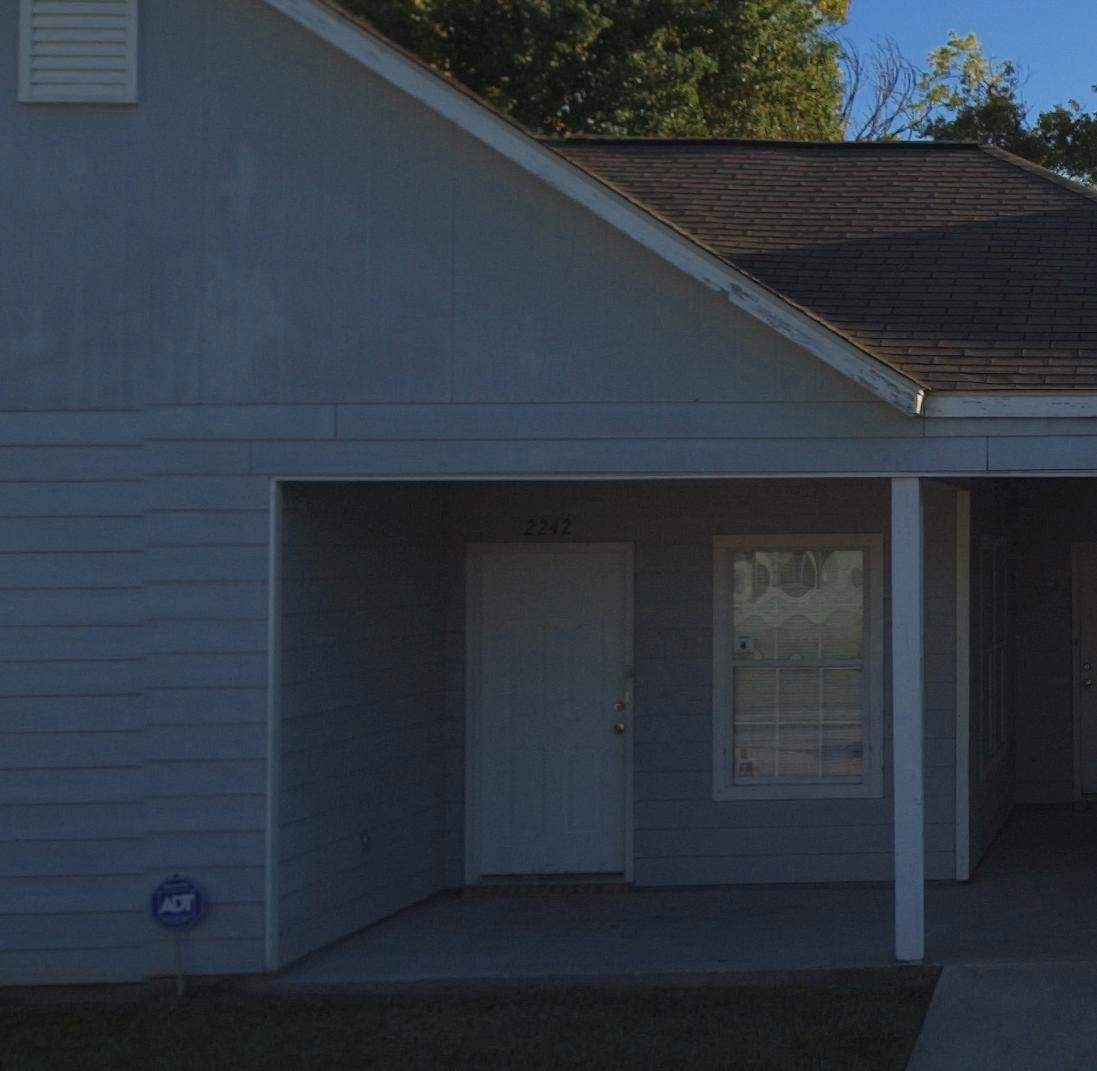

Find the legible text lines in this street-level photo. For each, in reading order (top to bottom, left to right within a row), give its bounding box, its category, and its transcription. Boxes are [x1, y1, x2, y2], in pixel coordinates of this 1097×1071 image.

[522, 516, 574, 538] StreetNumber: 2242
[154, 889, 199, 918] None: ADT